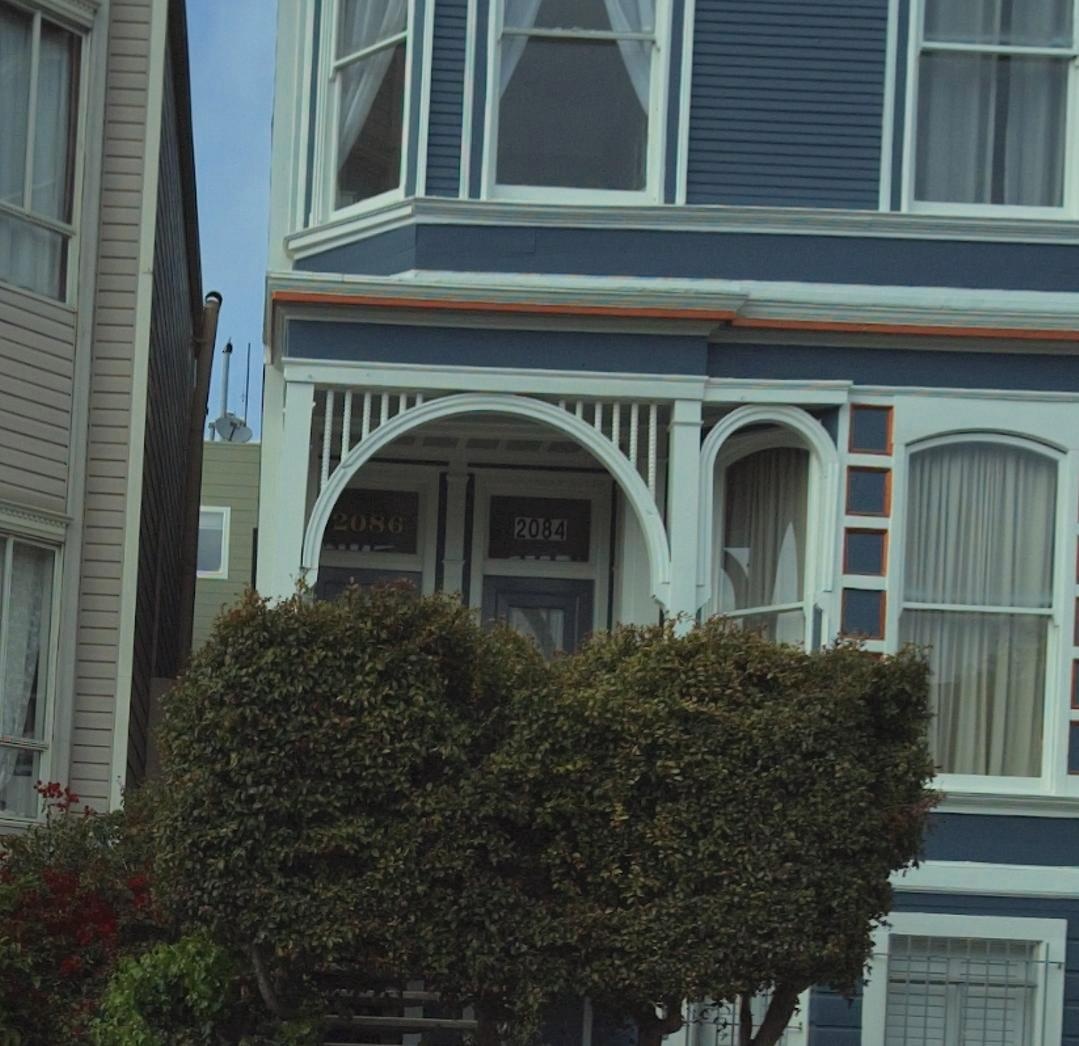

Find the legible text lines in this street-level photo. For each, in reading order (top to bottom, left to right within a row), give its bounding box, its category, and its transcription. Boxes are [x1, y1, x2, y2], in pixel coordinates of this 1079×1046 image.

[329, 509, 406, 537] StreetNumber: 2086
[513, 516, 568, 544] StreetNumber: 2084